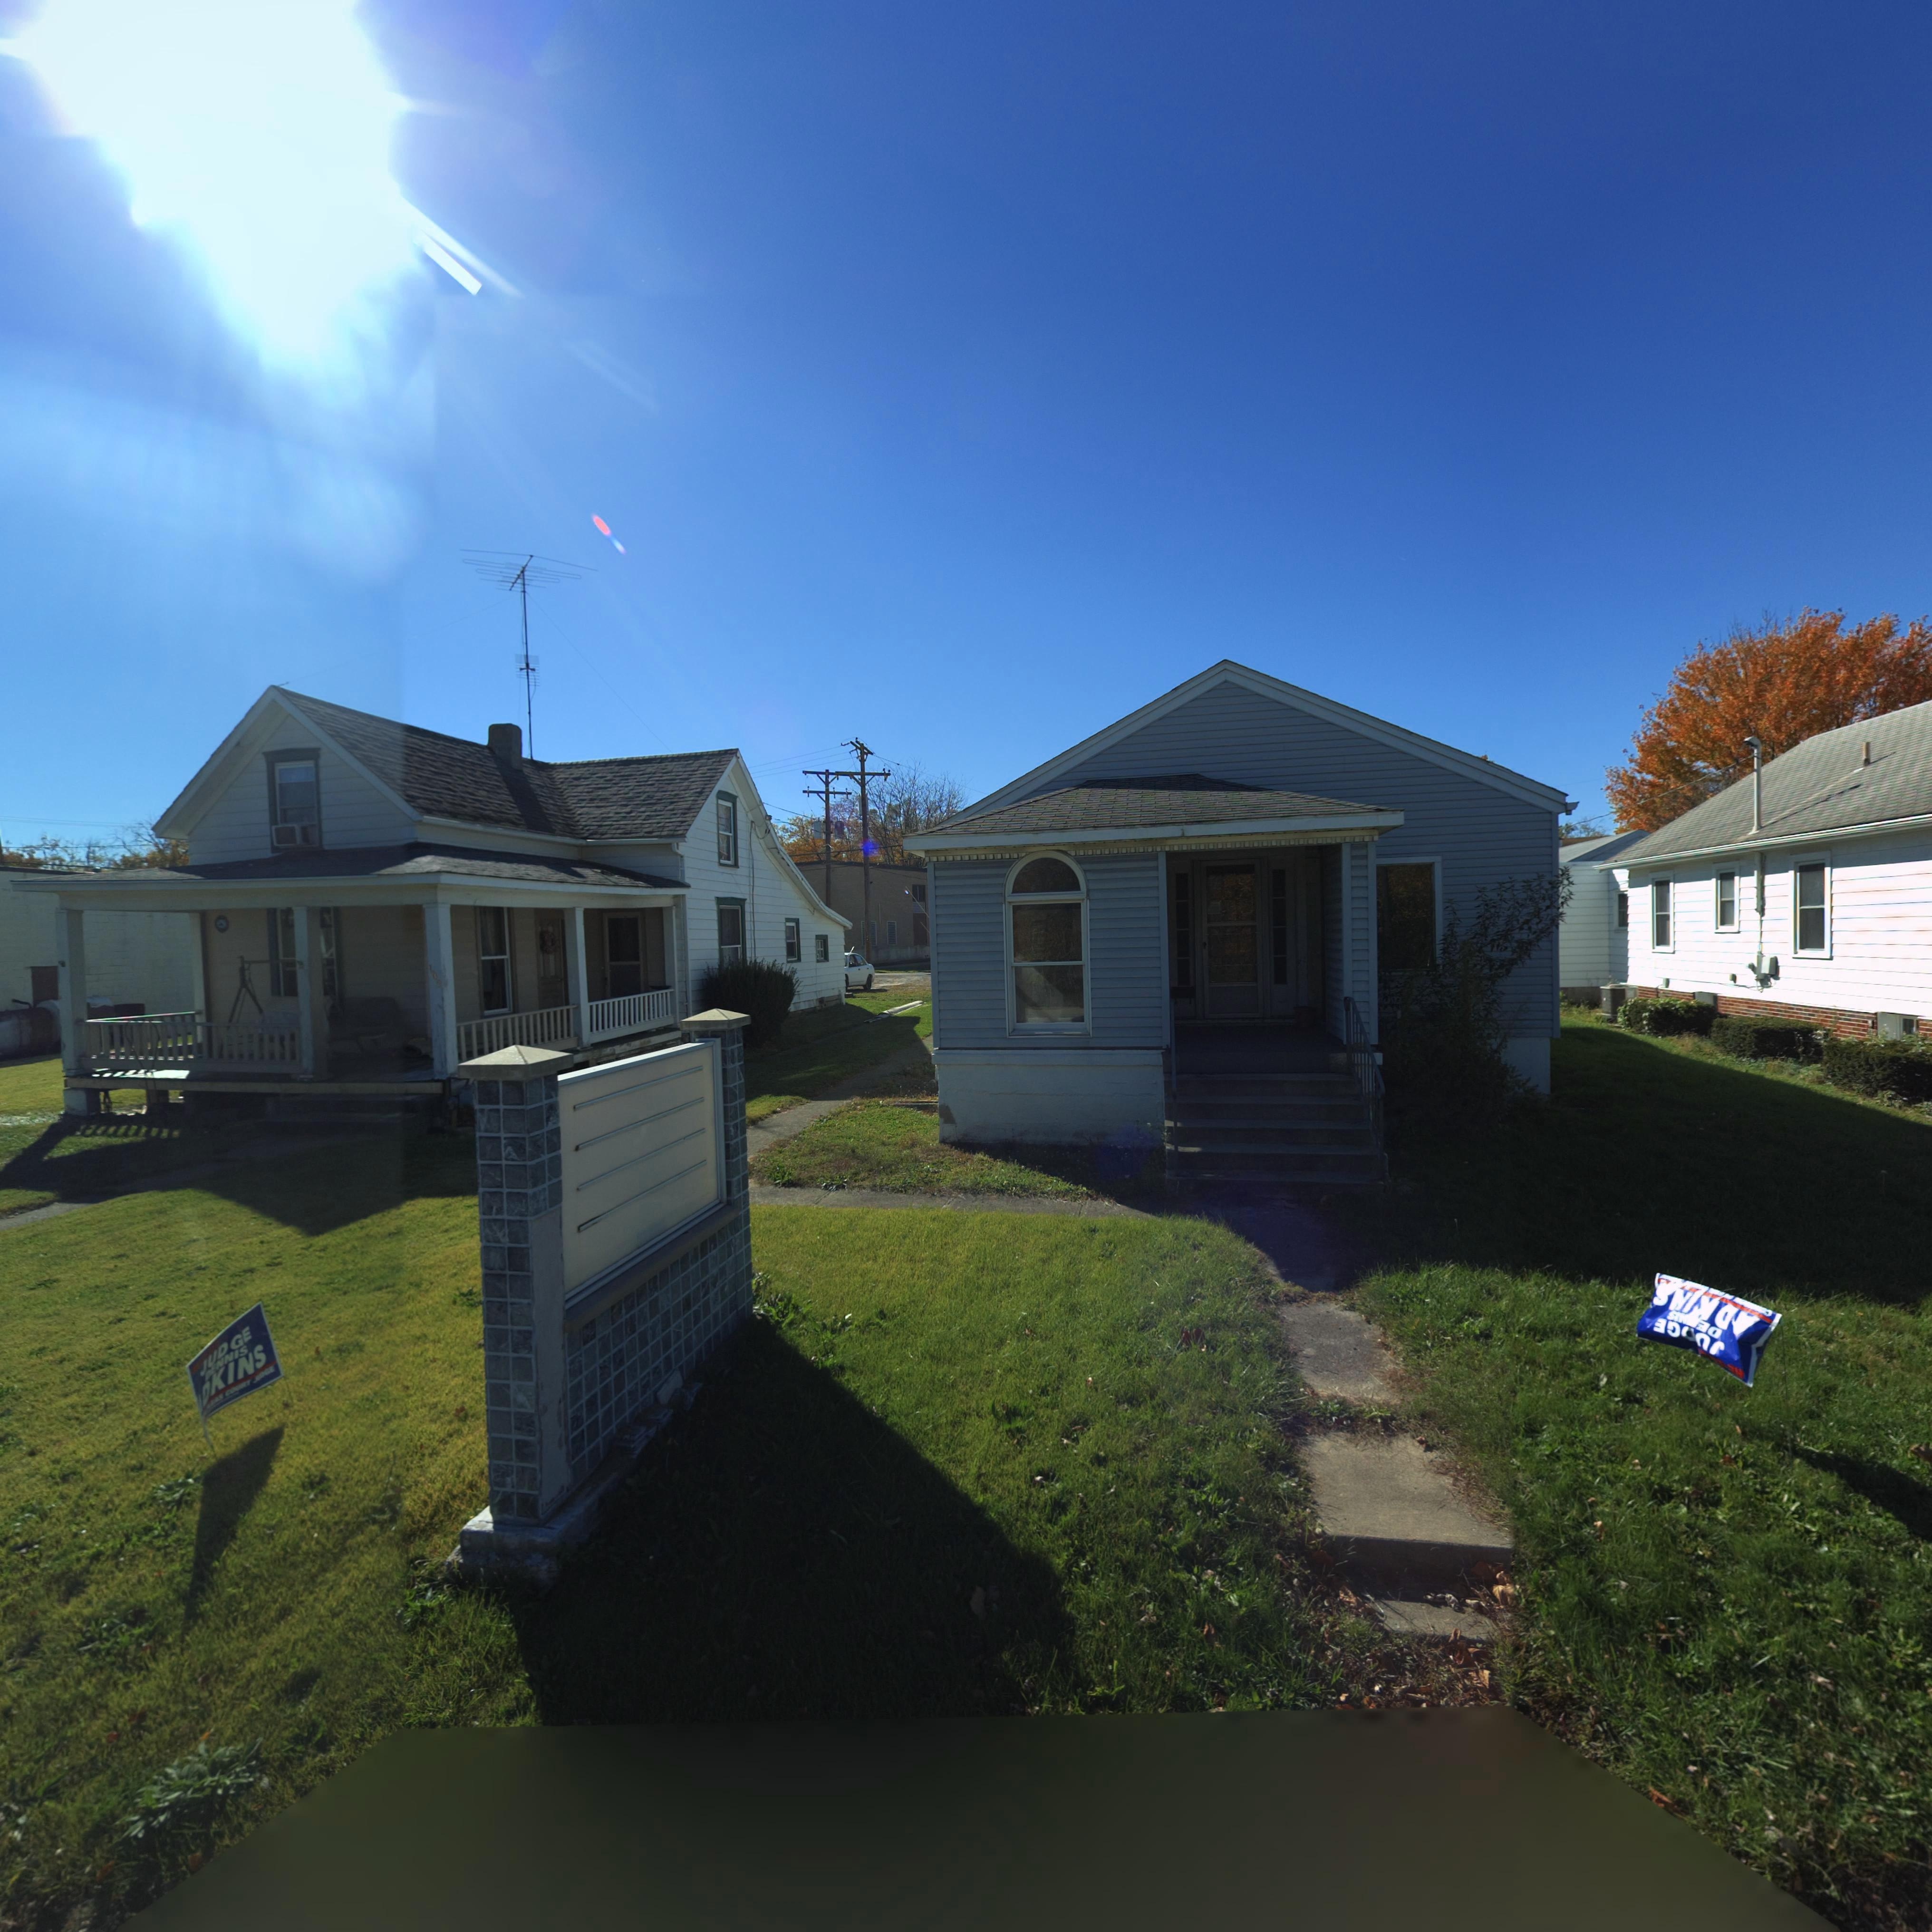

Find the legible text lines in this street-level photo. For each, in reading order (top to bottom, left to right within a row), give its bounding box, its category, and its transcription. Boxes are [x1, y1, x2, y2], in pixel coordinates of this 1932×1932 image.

[427, 963, 444, 990] StreetNumber: 109
[199, 1323, 253, 1378] None: JUDGE
[203, 1343, 249, 1382] None: DENNIS
[198, 1343, 268, 1409] None: DKINS
[224, 1363, 276, 1398] None: COURT J*DGE